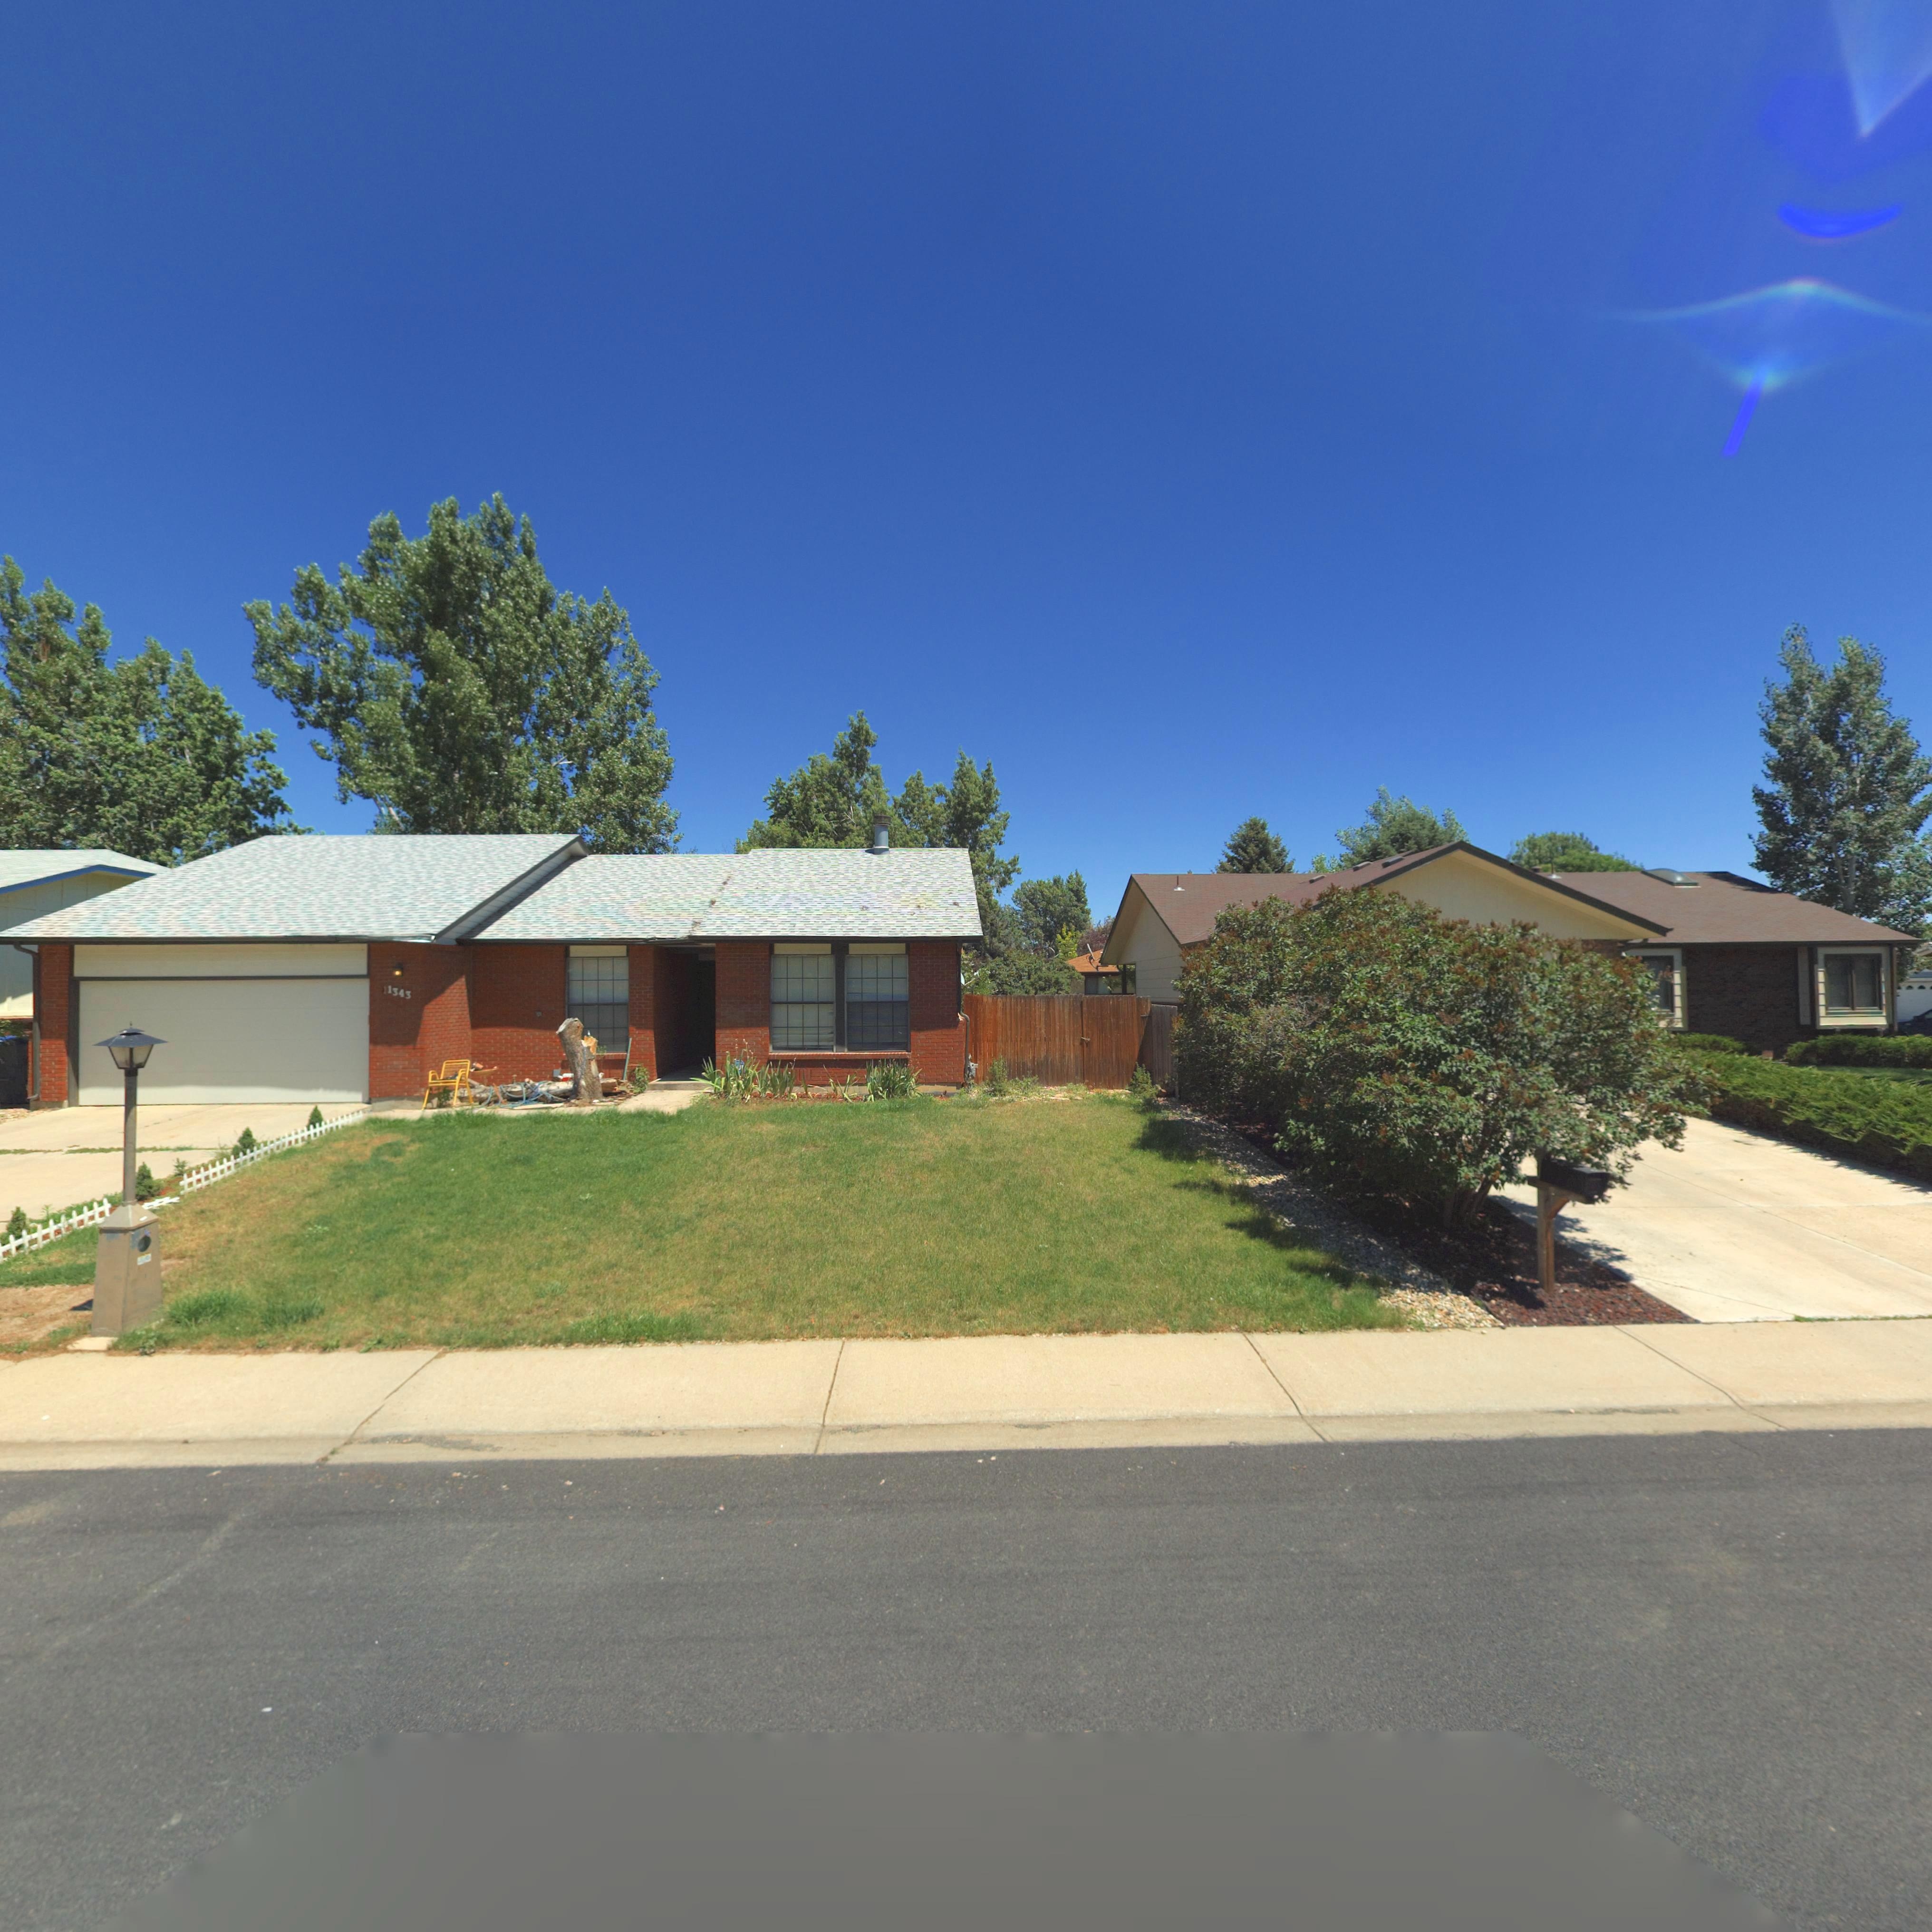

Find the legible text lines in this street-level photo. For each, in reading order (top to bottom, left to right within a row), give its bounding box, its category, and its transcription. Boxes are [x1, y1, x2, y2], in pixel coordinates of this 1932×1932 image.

[387, 985, 412, 999] StreetNumber: 1343